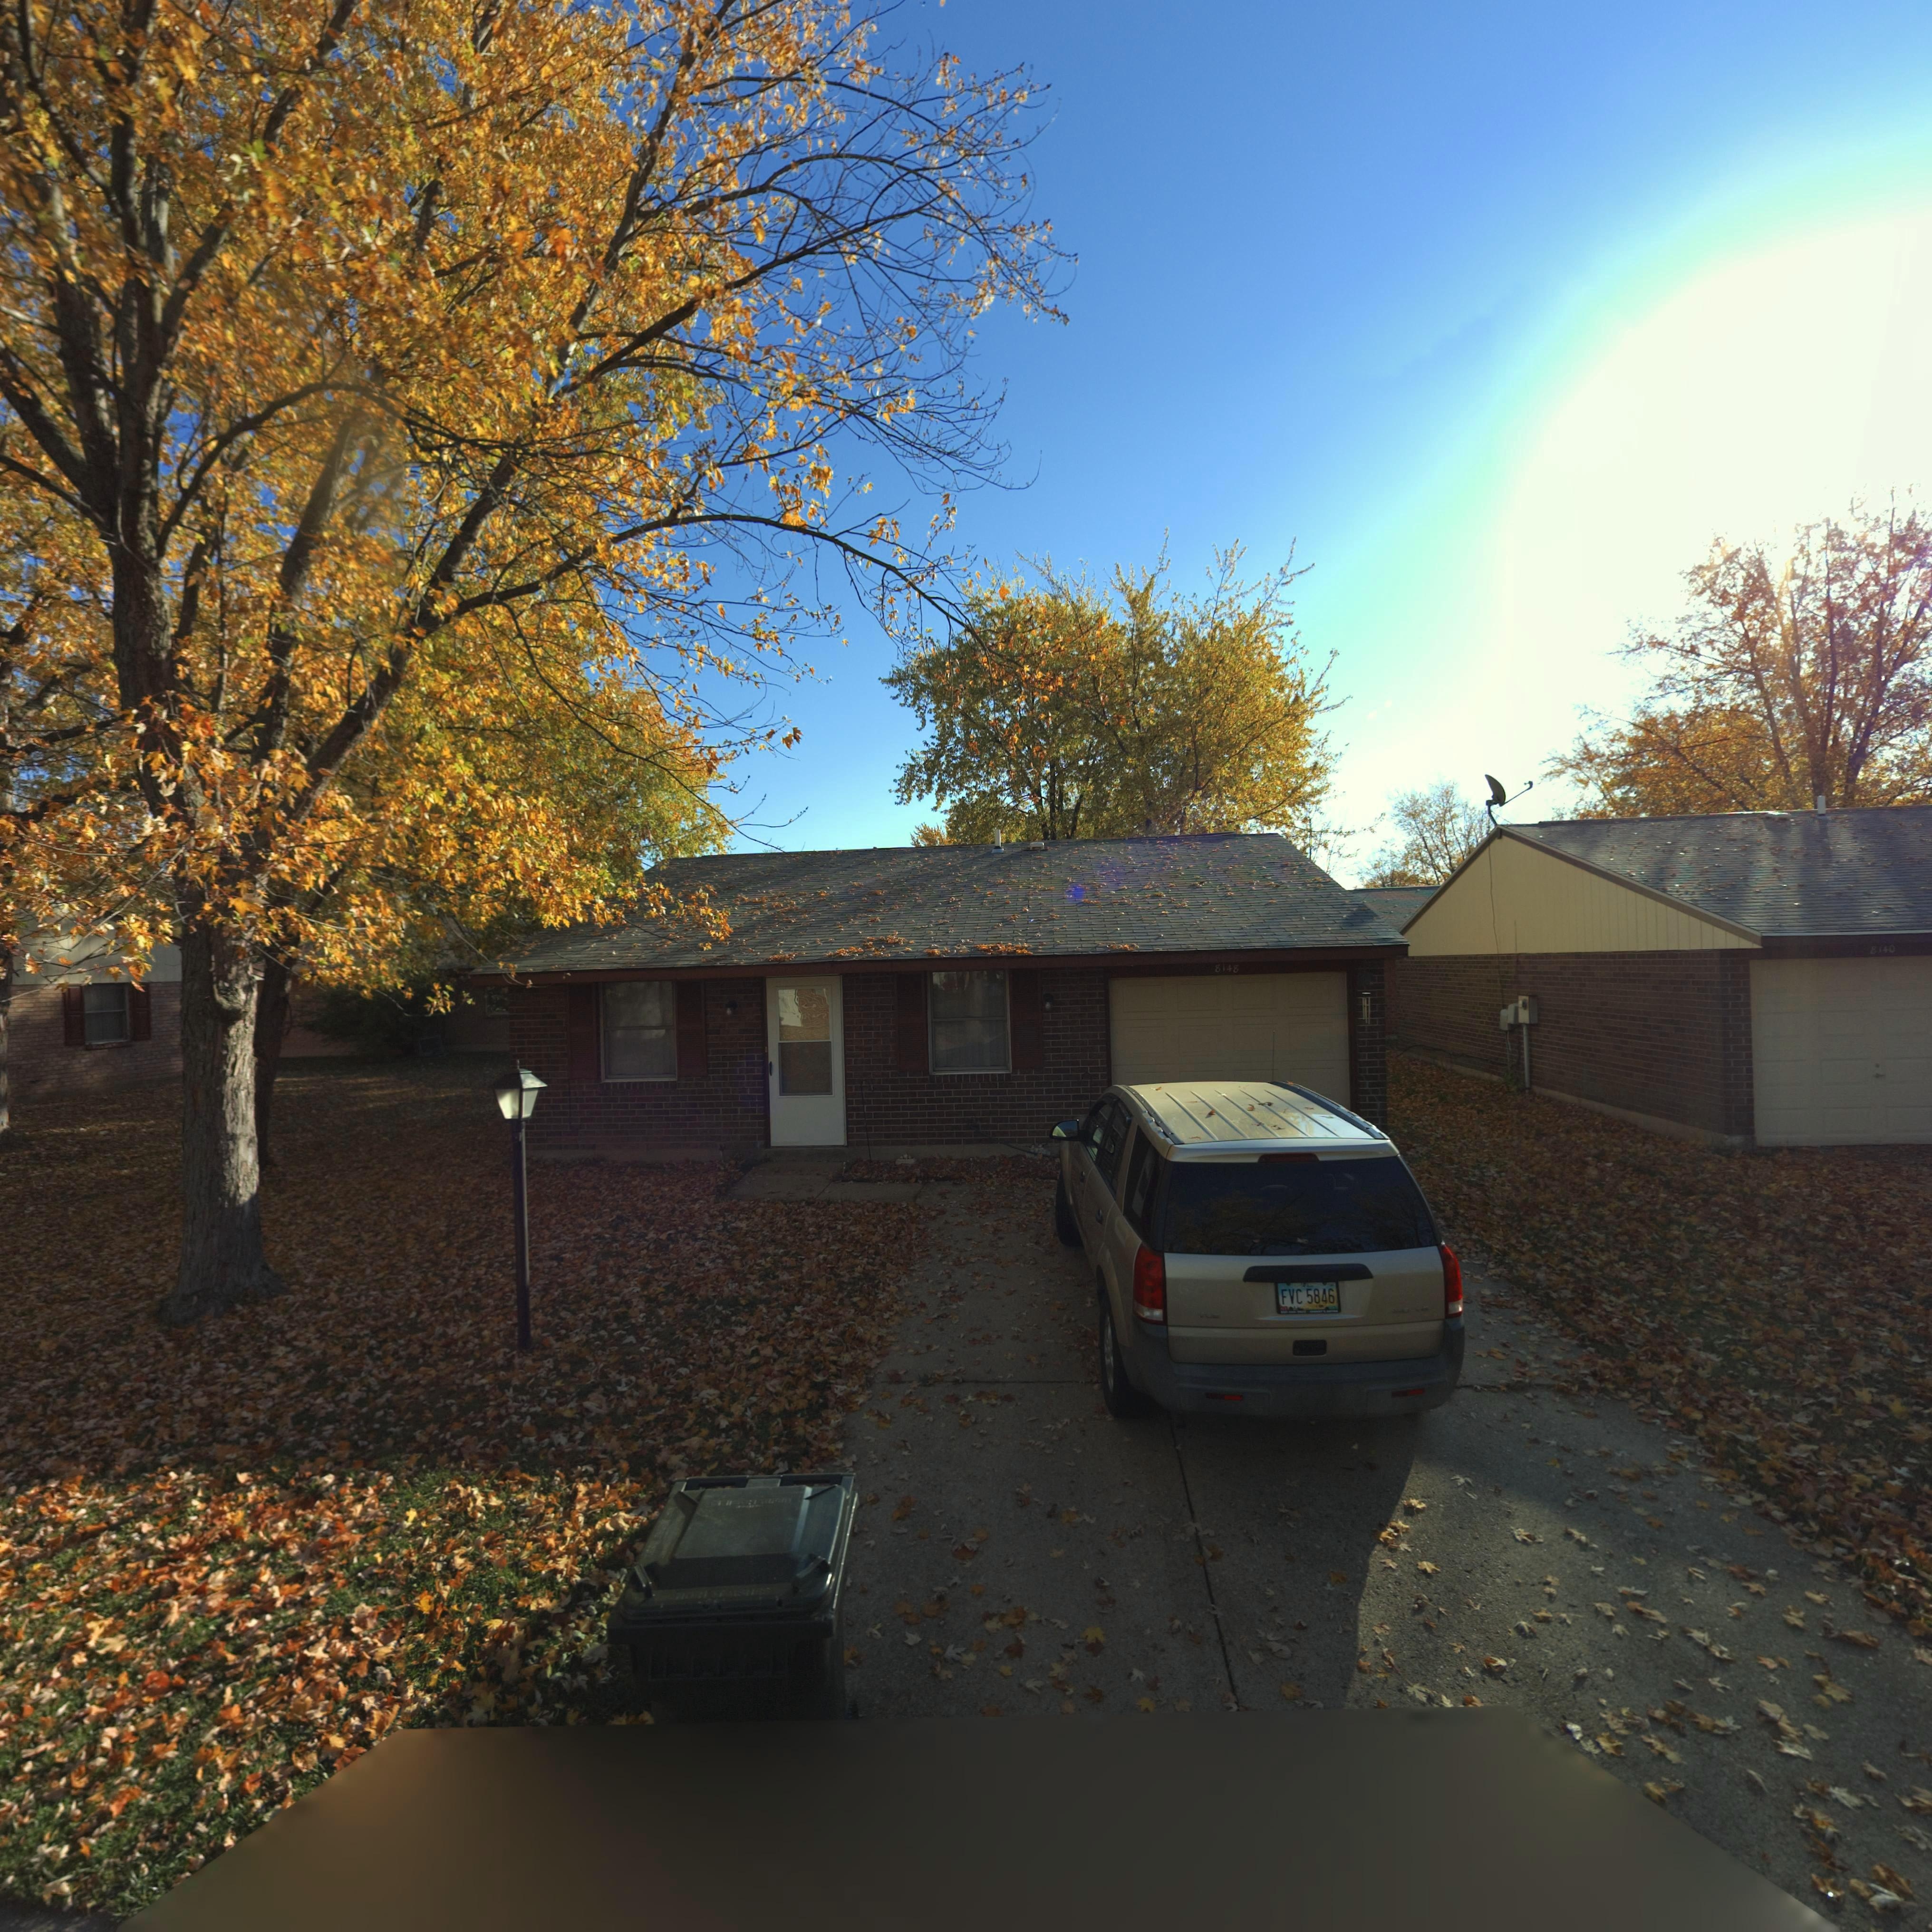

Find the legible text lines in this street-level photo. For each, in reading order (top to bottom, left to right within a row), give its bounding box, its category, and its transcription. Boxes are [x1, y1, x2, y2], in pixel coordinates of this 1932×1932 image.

[1869, 944, 1896, 955] StreetNumber: 8140
[1215, 963, 1239, 973] StreetNumber: 8148